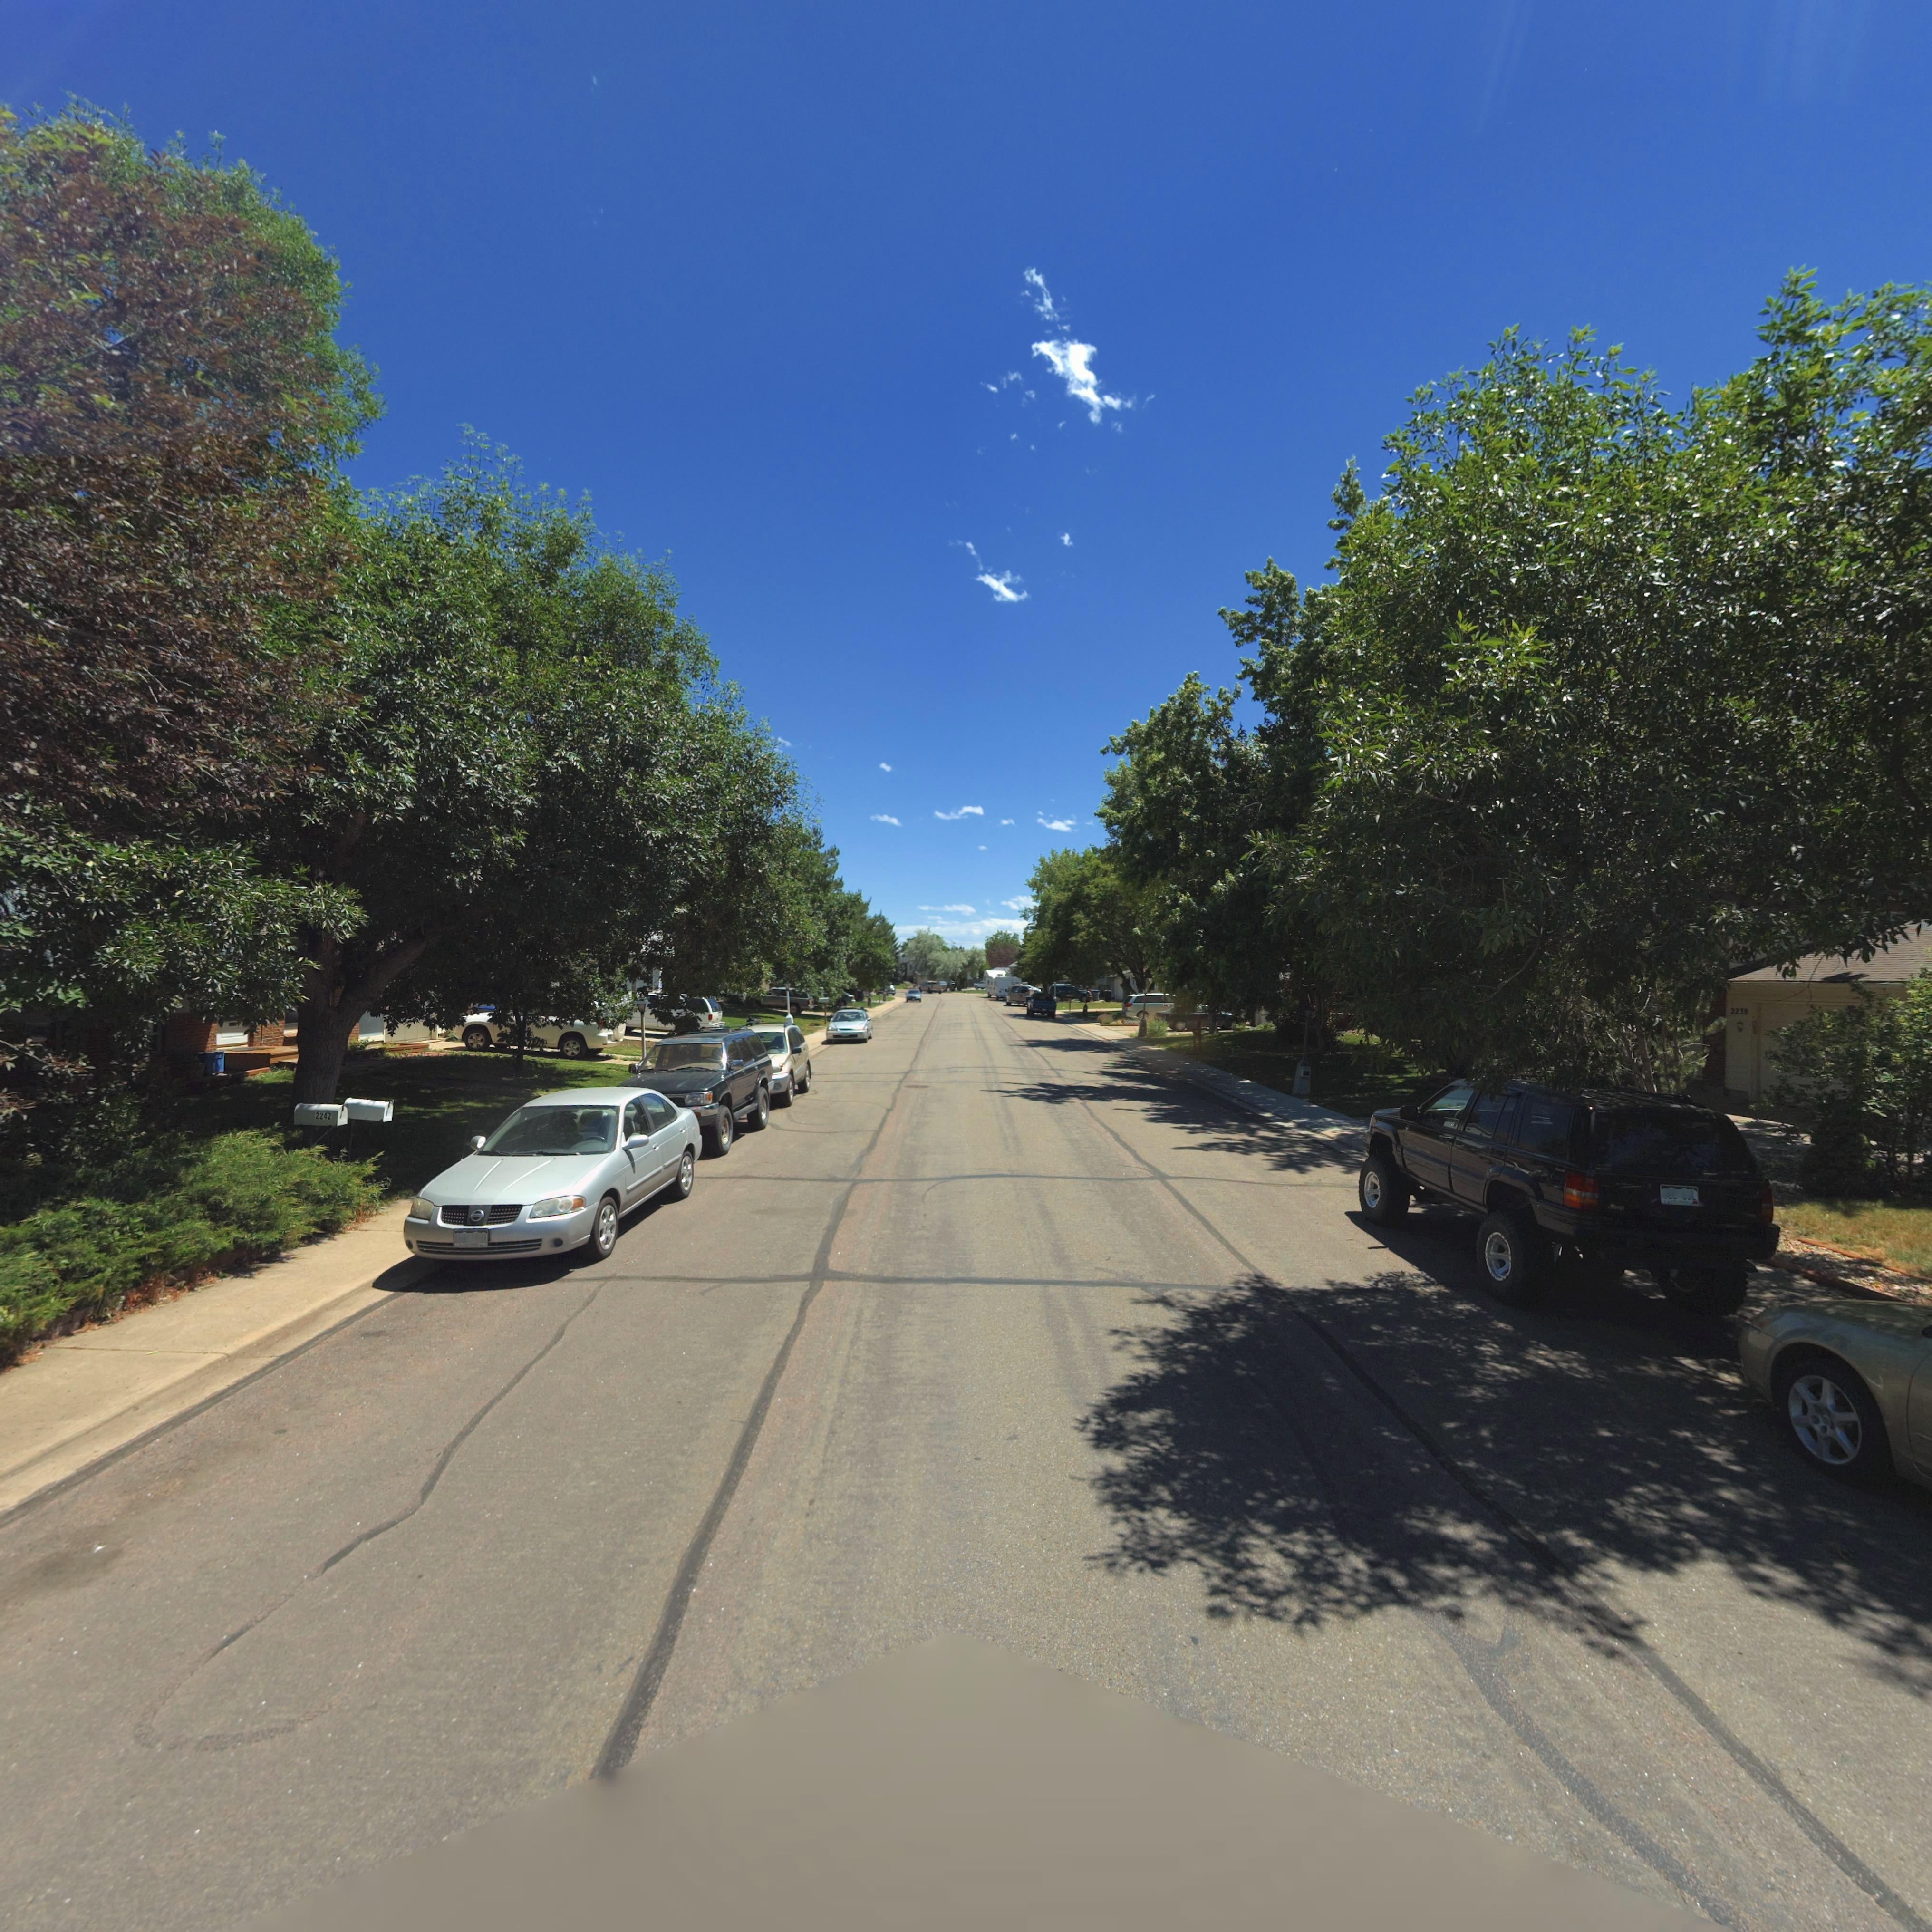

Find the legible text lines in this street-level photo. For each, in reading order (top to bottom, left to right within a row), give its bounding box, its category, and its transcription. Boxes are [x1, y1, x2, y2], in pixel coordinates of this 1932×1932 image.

[1730, 1007, 1748, 1015] StreetNumber: 22**
[315, 1111, 332, 1120] StreetNumber: 2242